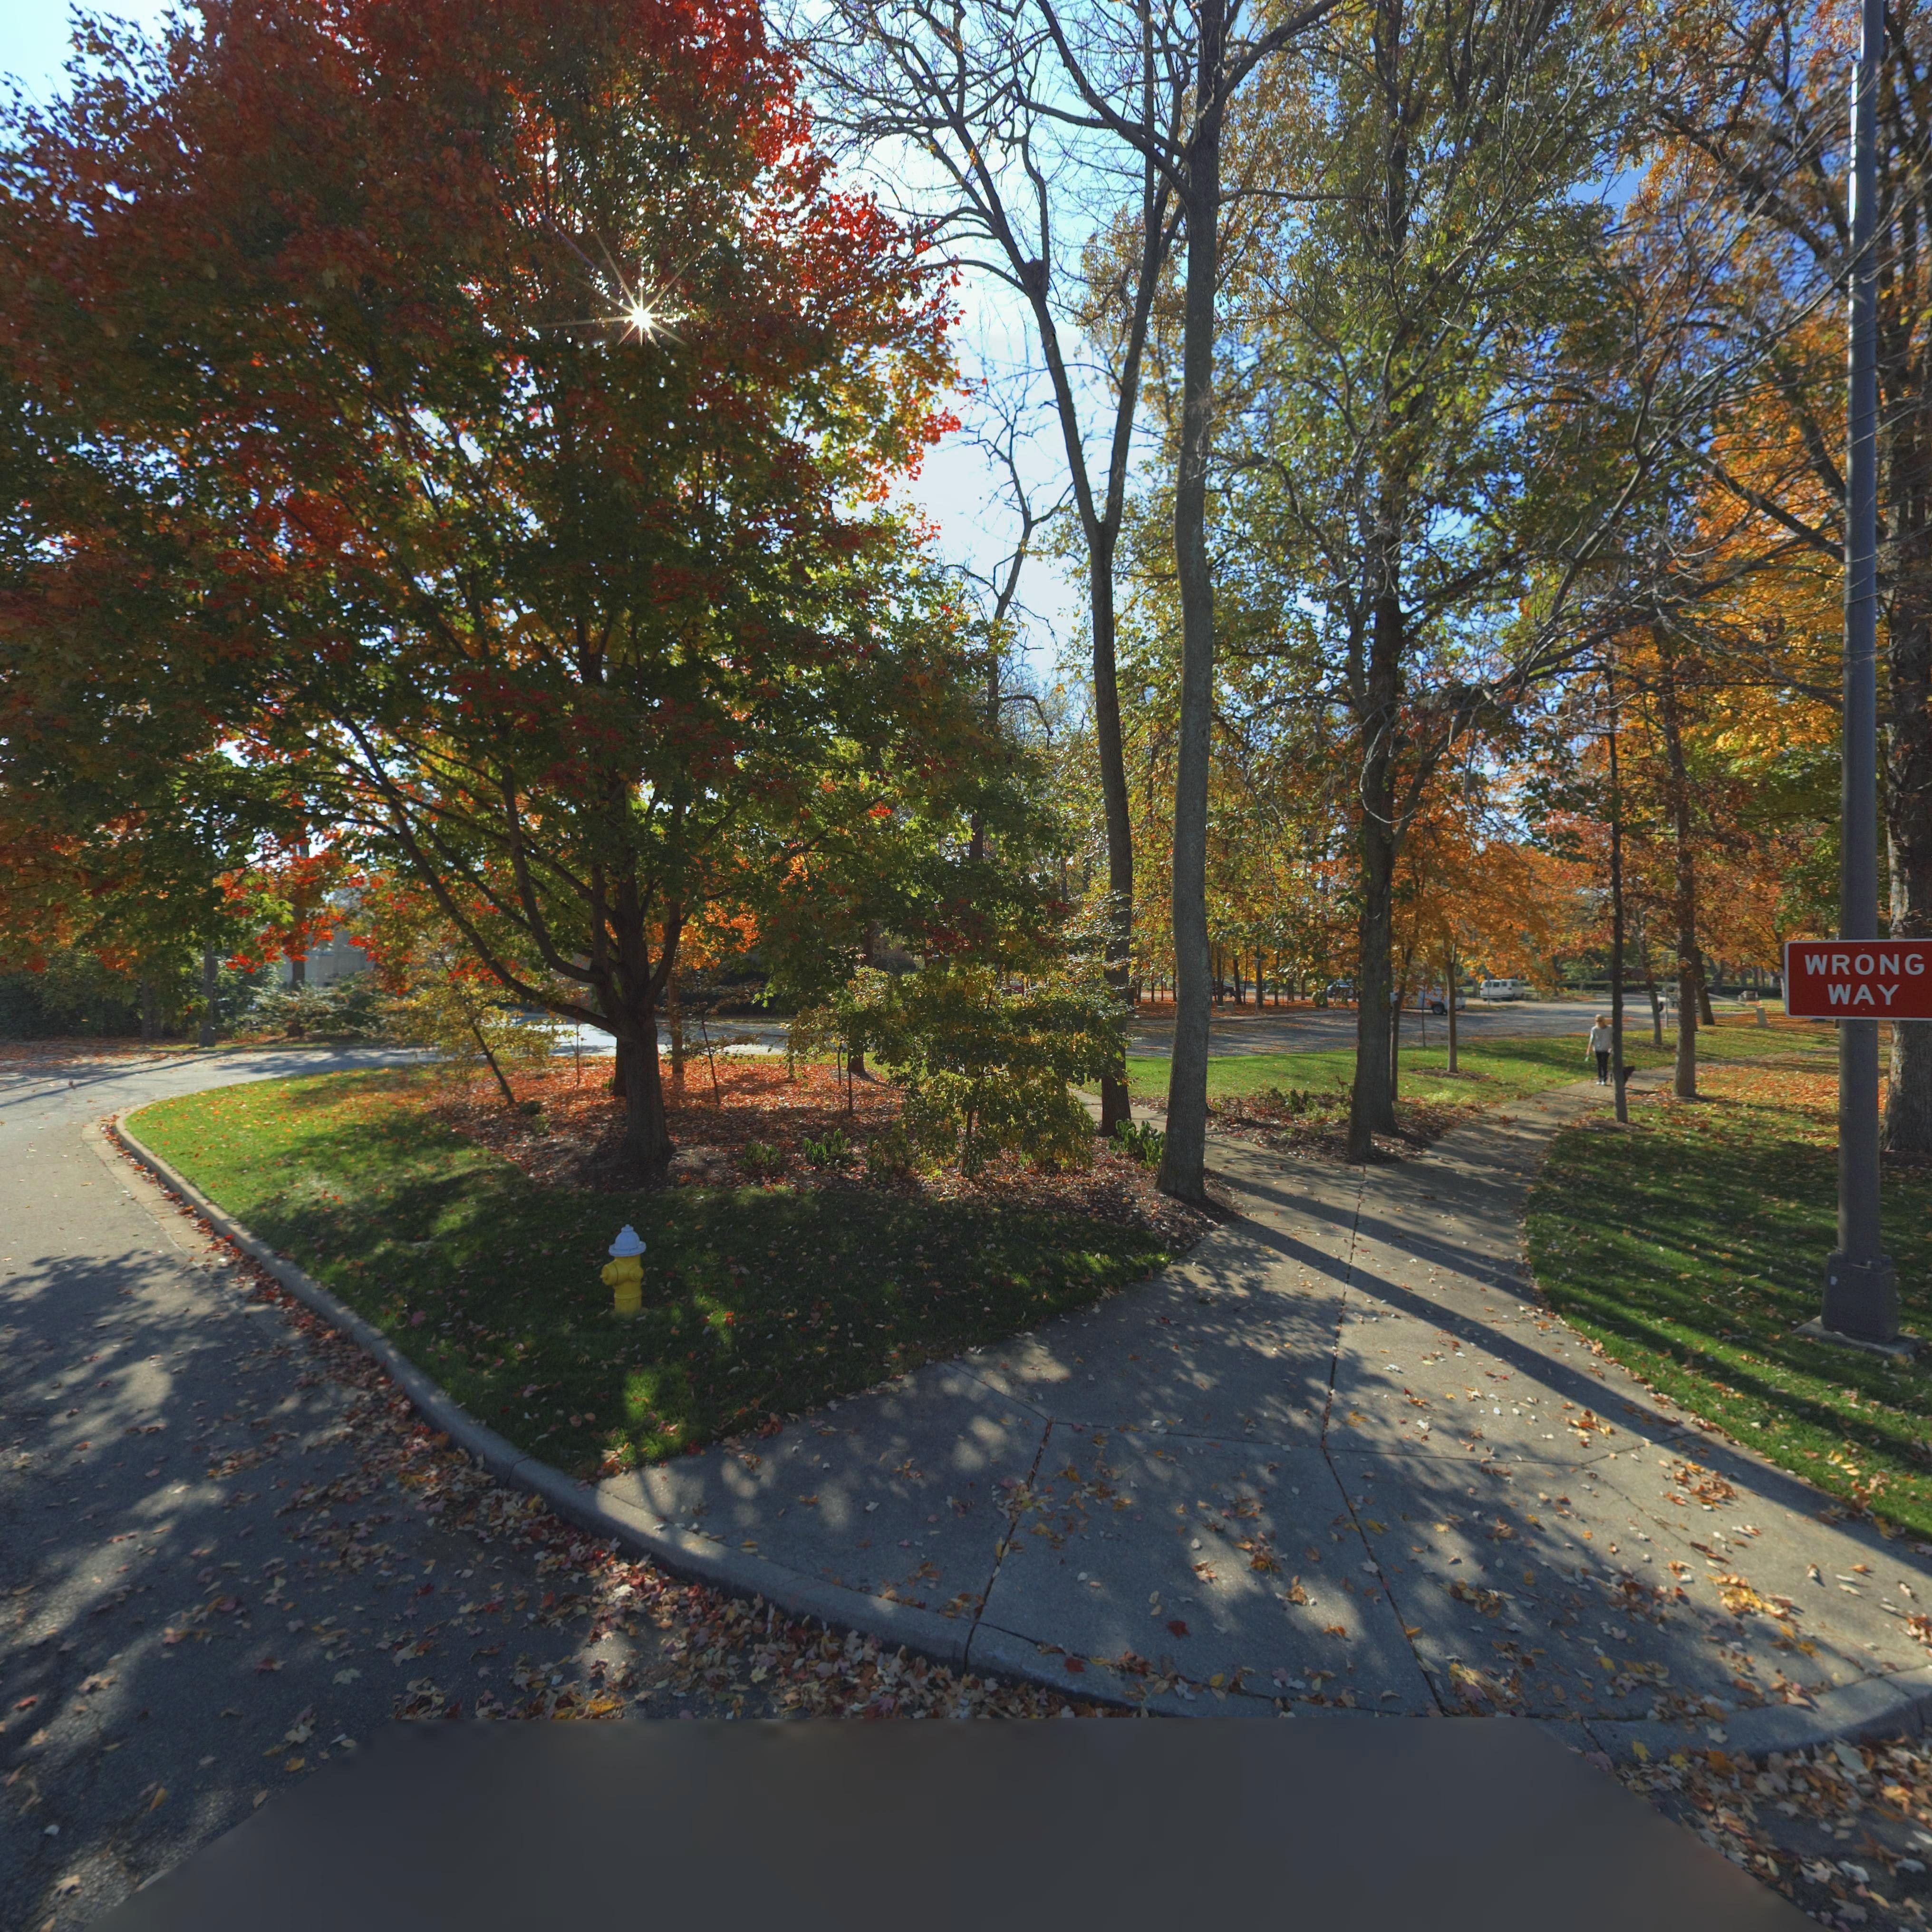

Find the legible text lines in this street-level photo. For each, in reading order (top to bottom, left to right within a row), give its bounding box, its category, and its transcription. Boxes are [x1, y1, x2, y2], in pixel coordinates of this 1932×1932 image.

[1803, 953, 1926, 976] None: WRONG
[1826, 983, 1902, 1005] None: WAY